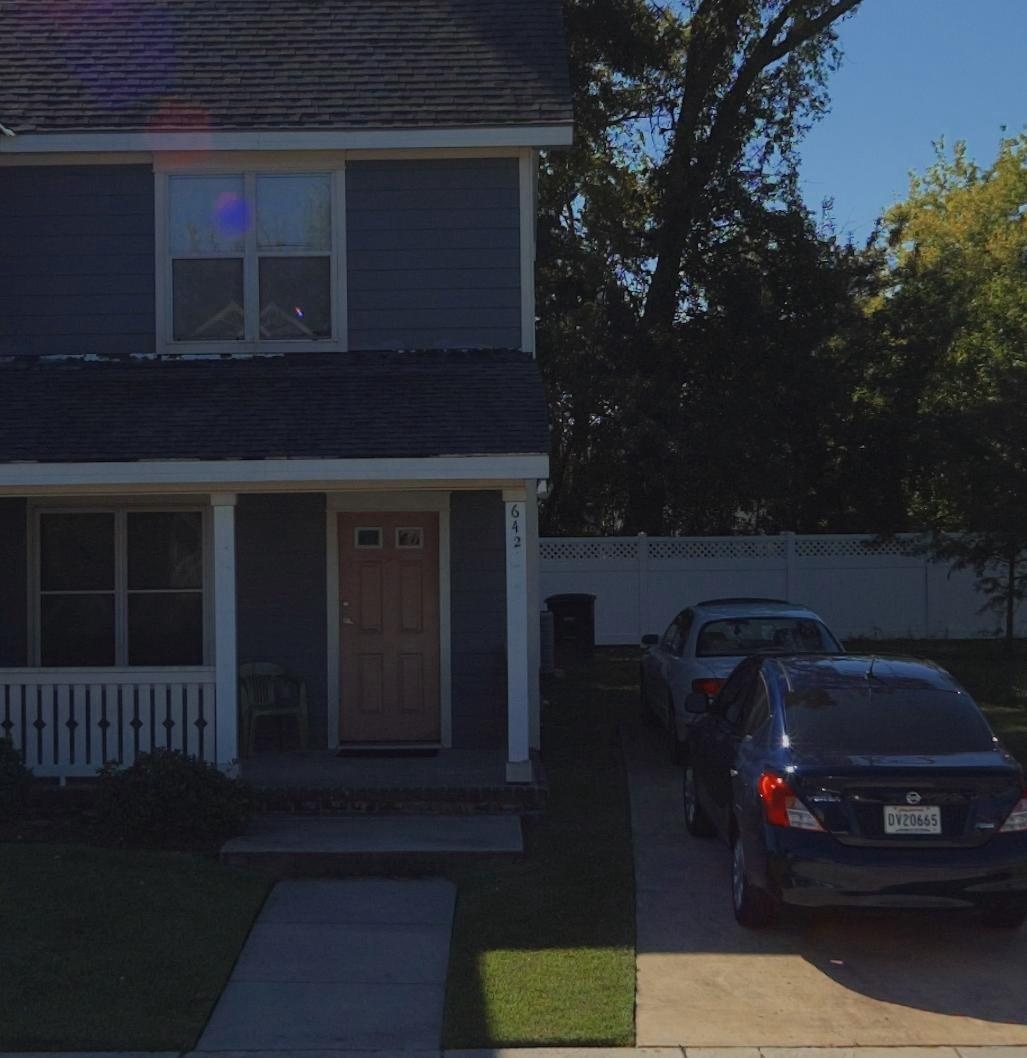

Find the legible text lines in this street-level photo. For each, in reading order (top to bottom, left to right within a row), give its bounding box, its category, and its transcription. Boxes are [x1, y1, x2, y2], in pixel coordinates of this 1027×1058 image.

[509, 501, 524, 551] StreetNumber: 642
[886, 811, 939, 828] None: DV20665